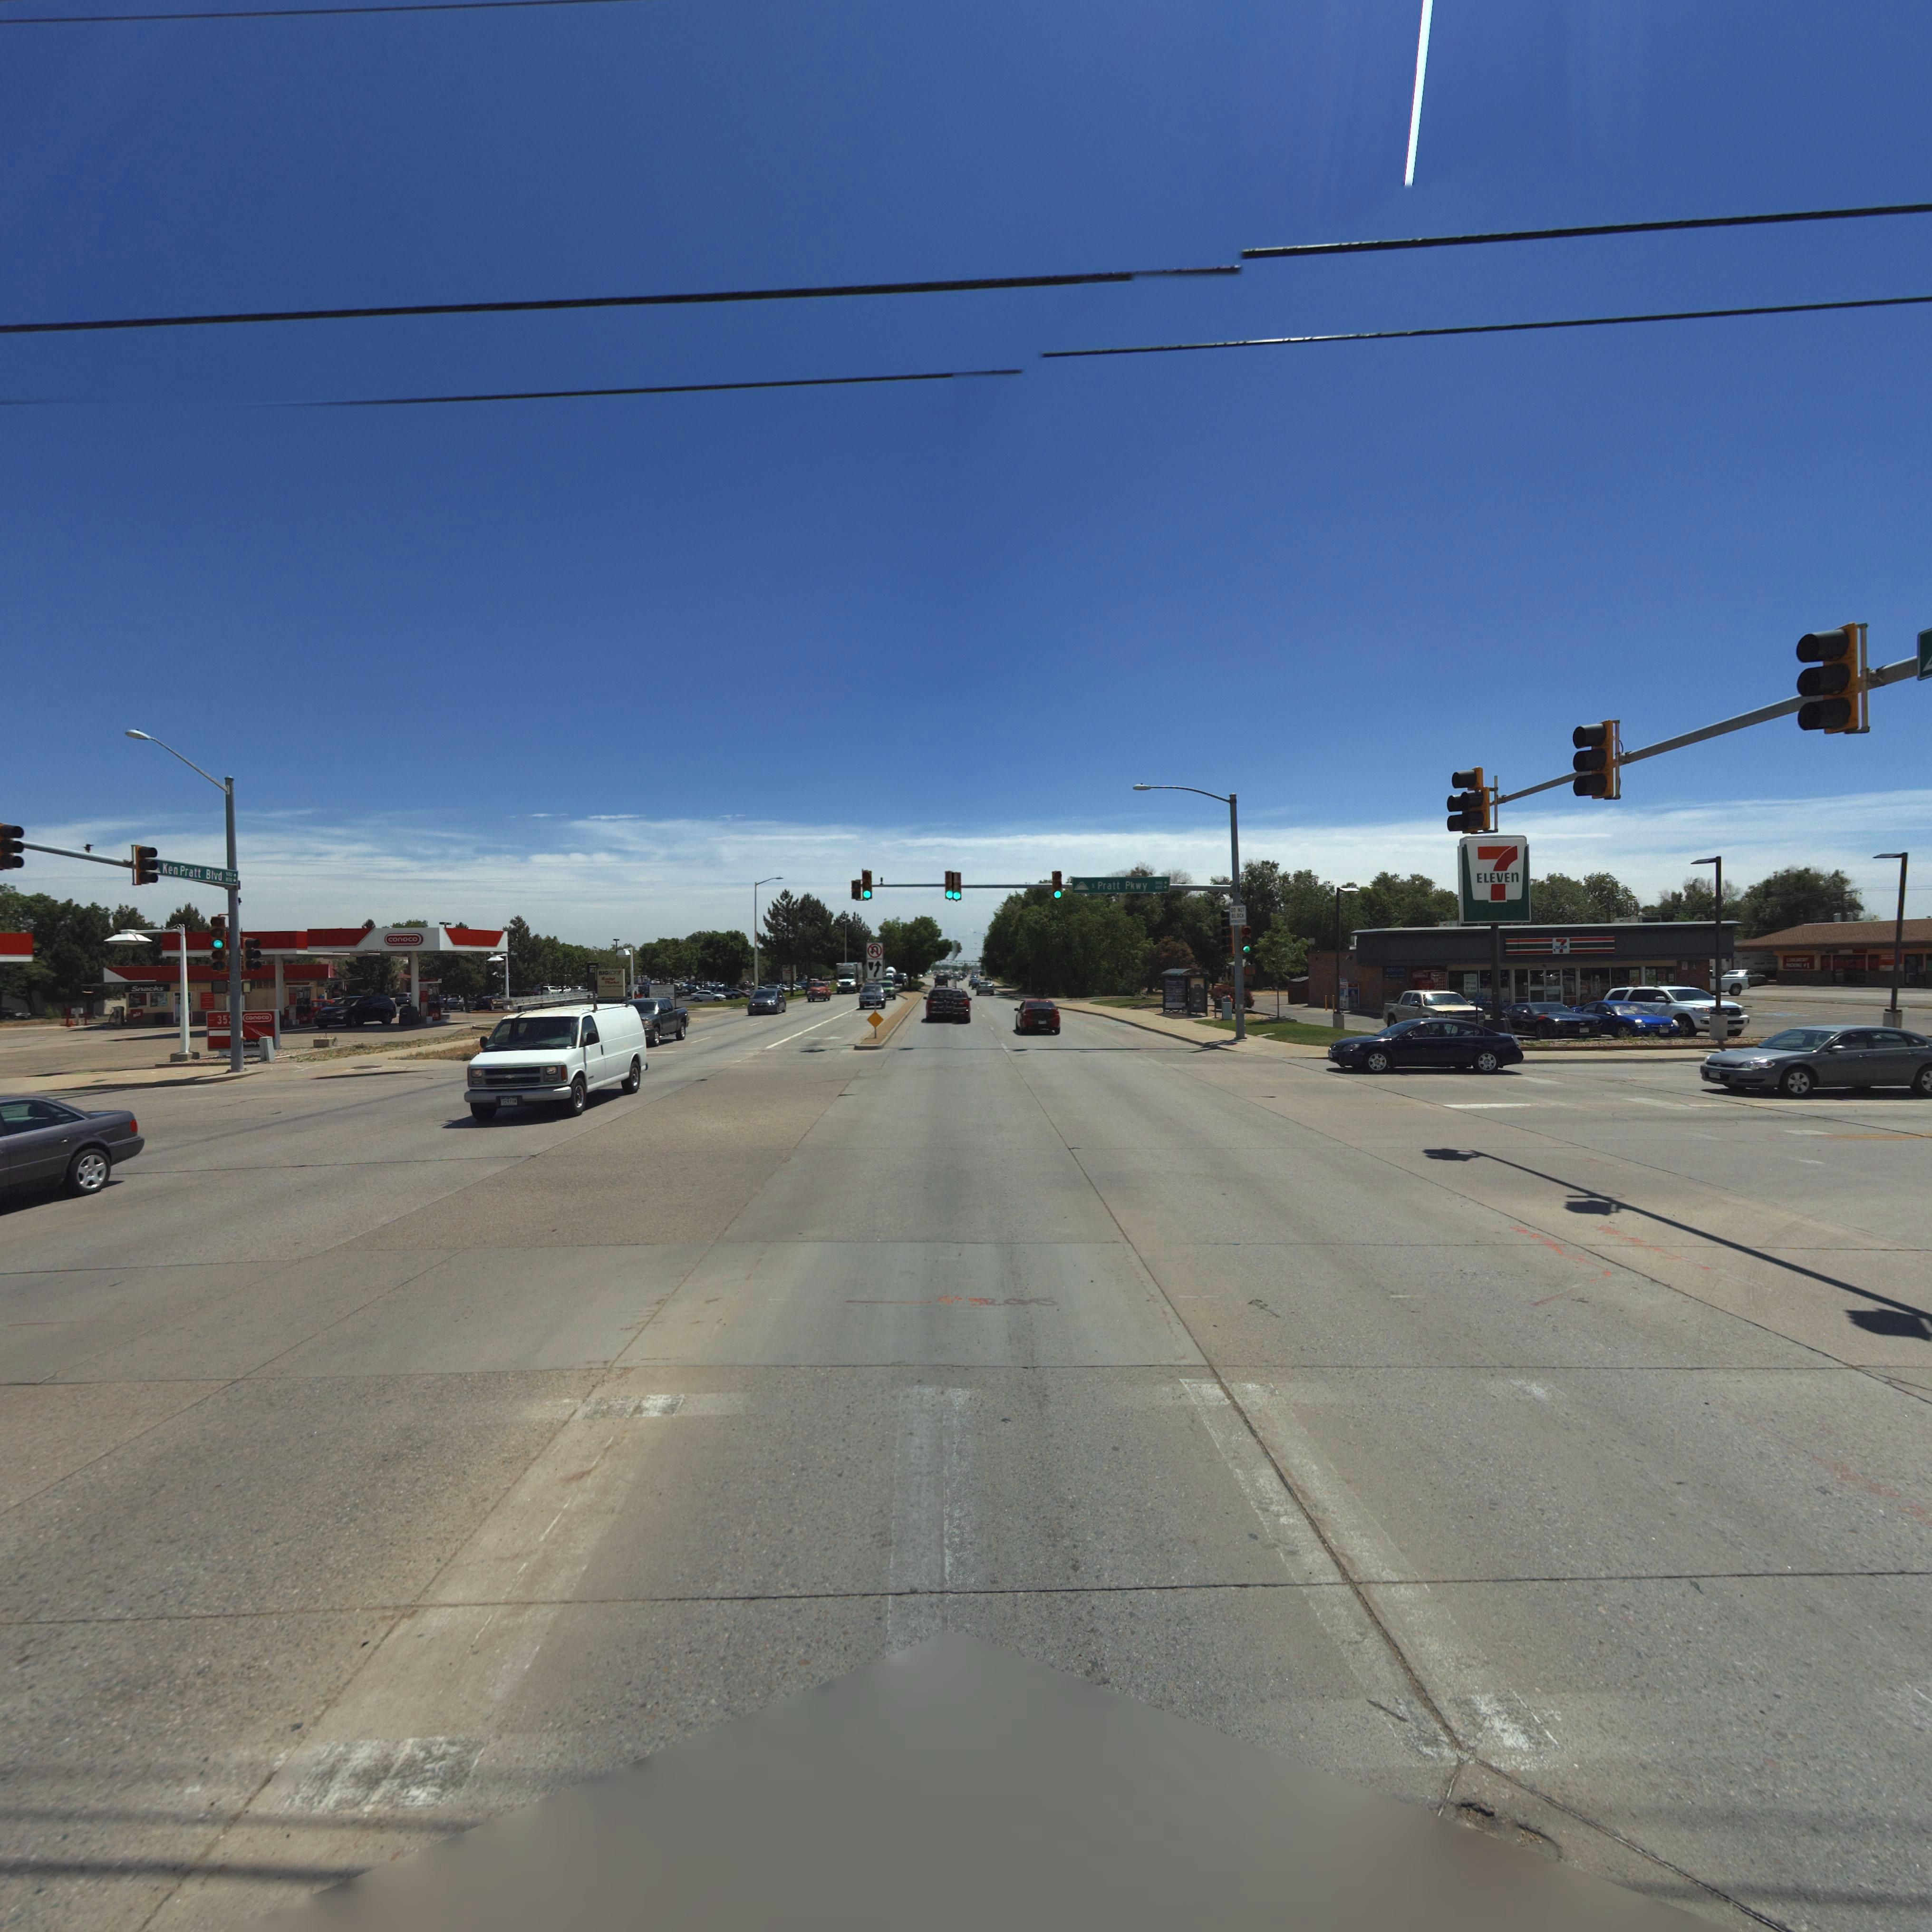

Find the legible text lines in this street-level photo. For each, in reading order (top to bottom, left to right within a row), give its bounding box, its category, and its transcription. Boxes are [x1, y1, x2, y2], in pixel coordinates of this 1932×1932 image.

[162, 862, 222, 881] StreetName: Ken Pratt Blvd
[1476, 871, 1519, 883] BusinessName: ELEVEN
[1091, 881, 1147, 892] StreetName: S Pratt Pkwy
[388, 937, 417, 942] BusinessName: conoco
[599, 970, 621, 975] BusinessName: BIG LOTS!
[600, 976, 615, 981] BusinessName: L**ky**
[604, 980, 619, 984] BusinessName: M*****
[245, 1015, 270, 1020] BusinessName: conoco